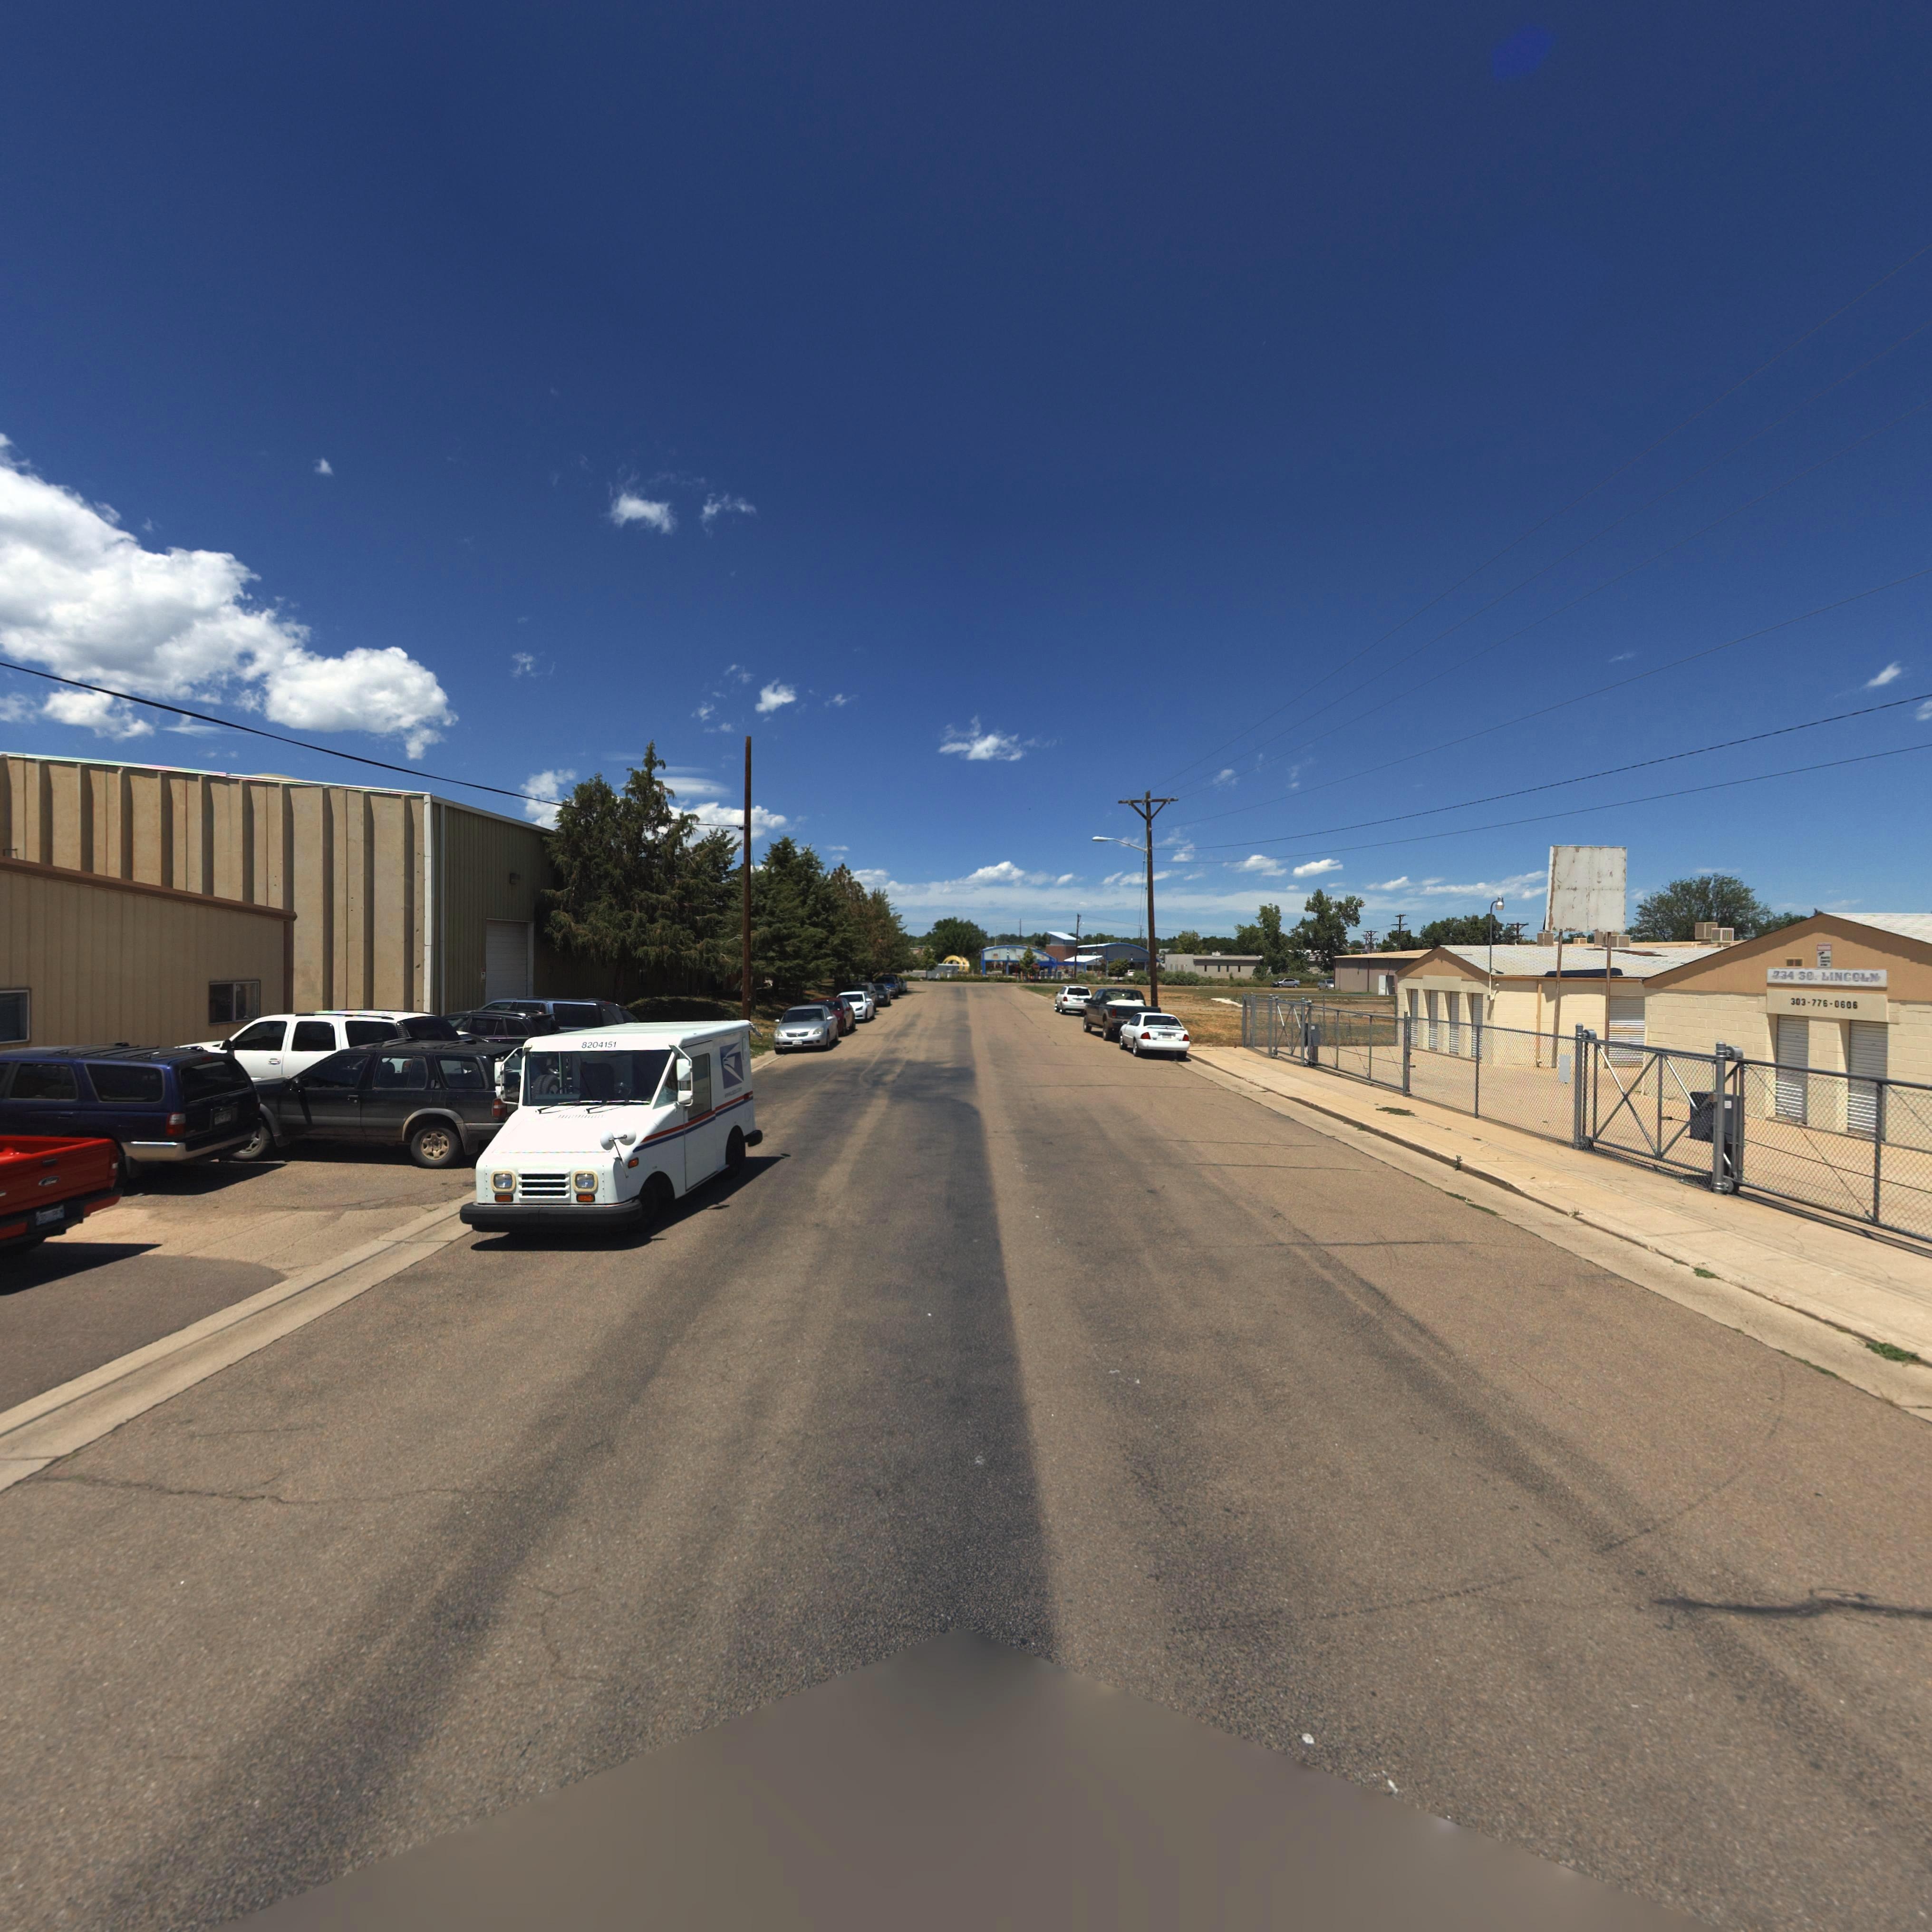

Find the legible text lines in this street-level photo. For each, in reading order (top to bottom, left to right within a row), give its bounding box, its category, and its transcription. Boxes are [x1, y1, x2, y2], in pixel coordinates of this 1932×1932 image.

[1773, 970, 1794, 980] StreetNumber: 734
[1798, 971, 1878, 983] StreetName: SO. LINCOLN